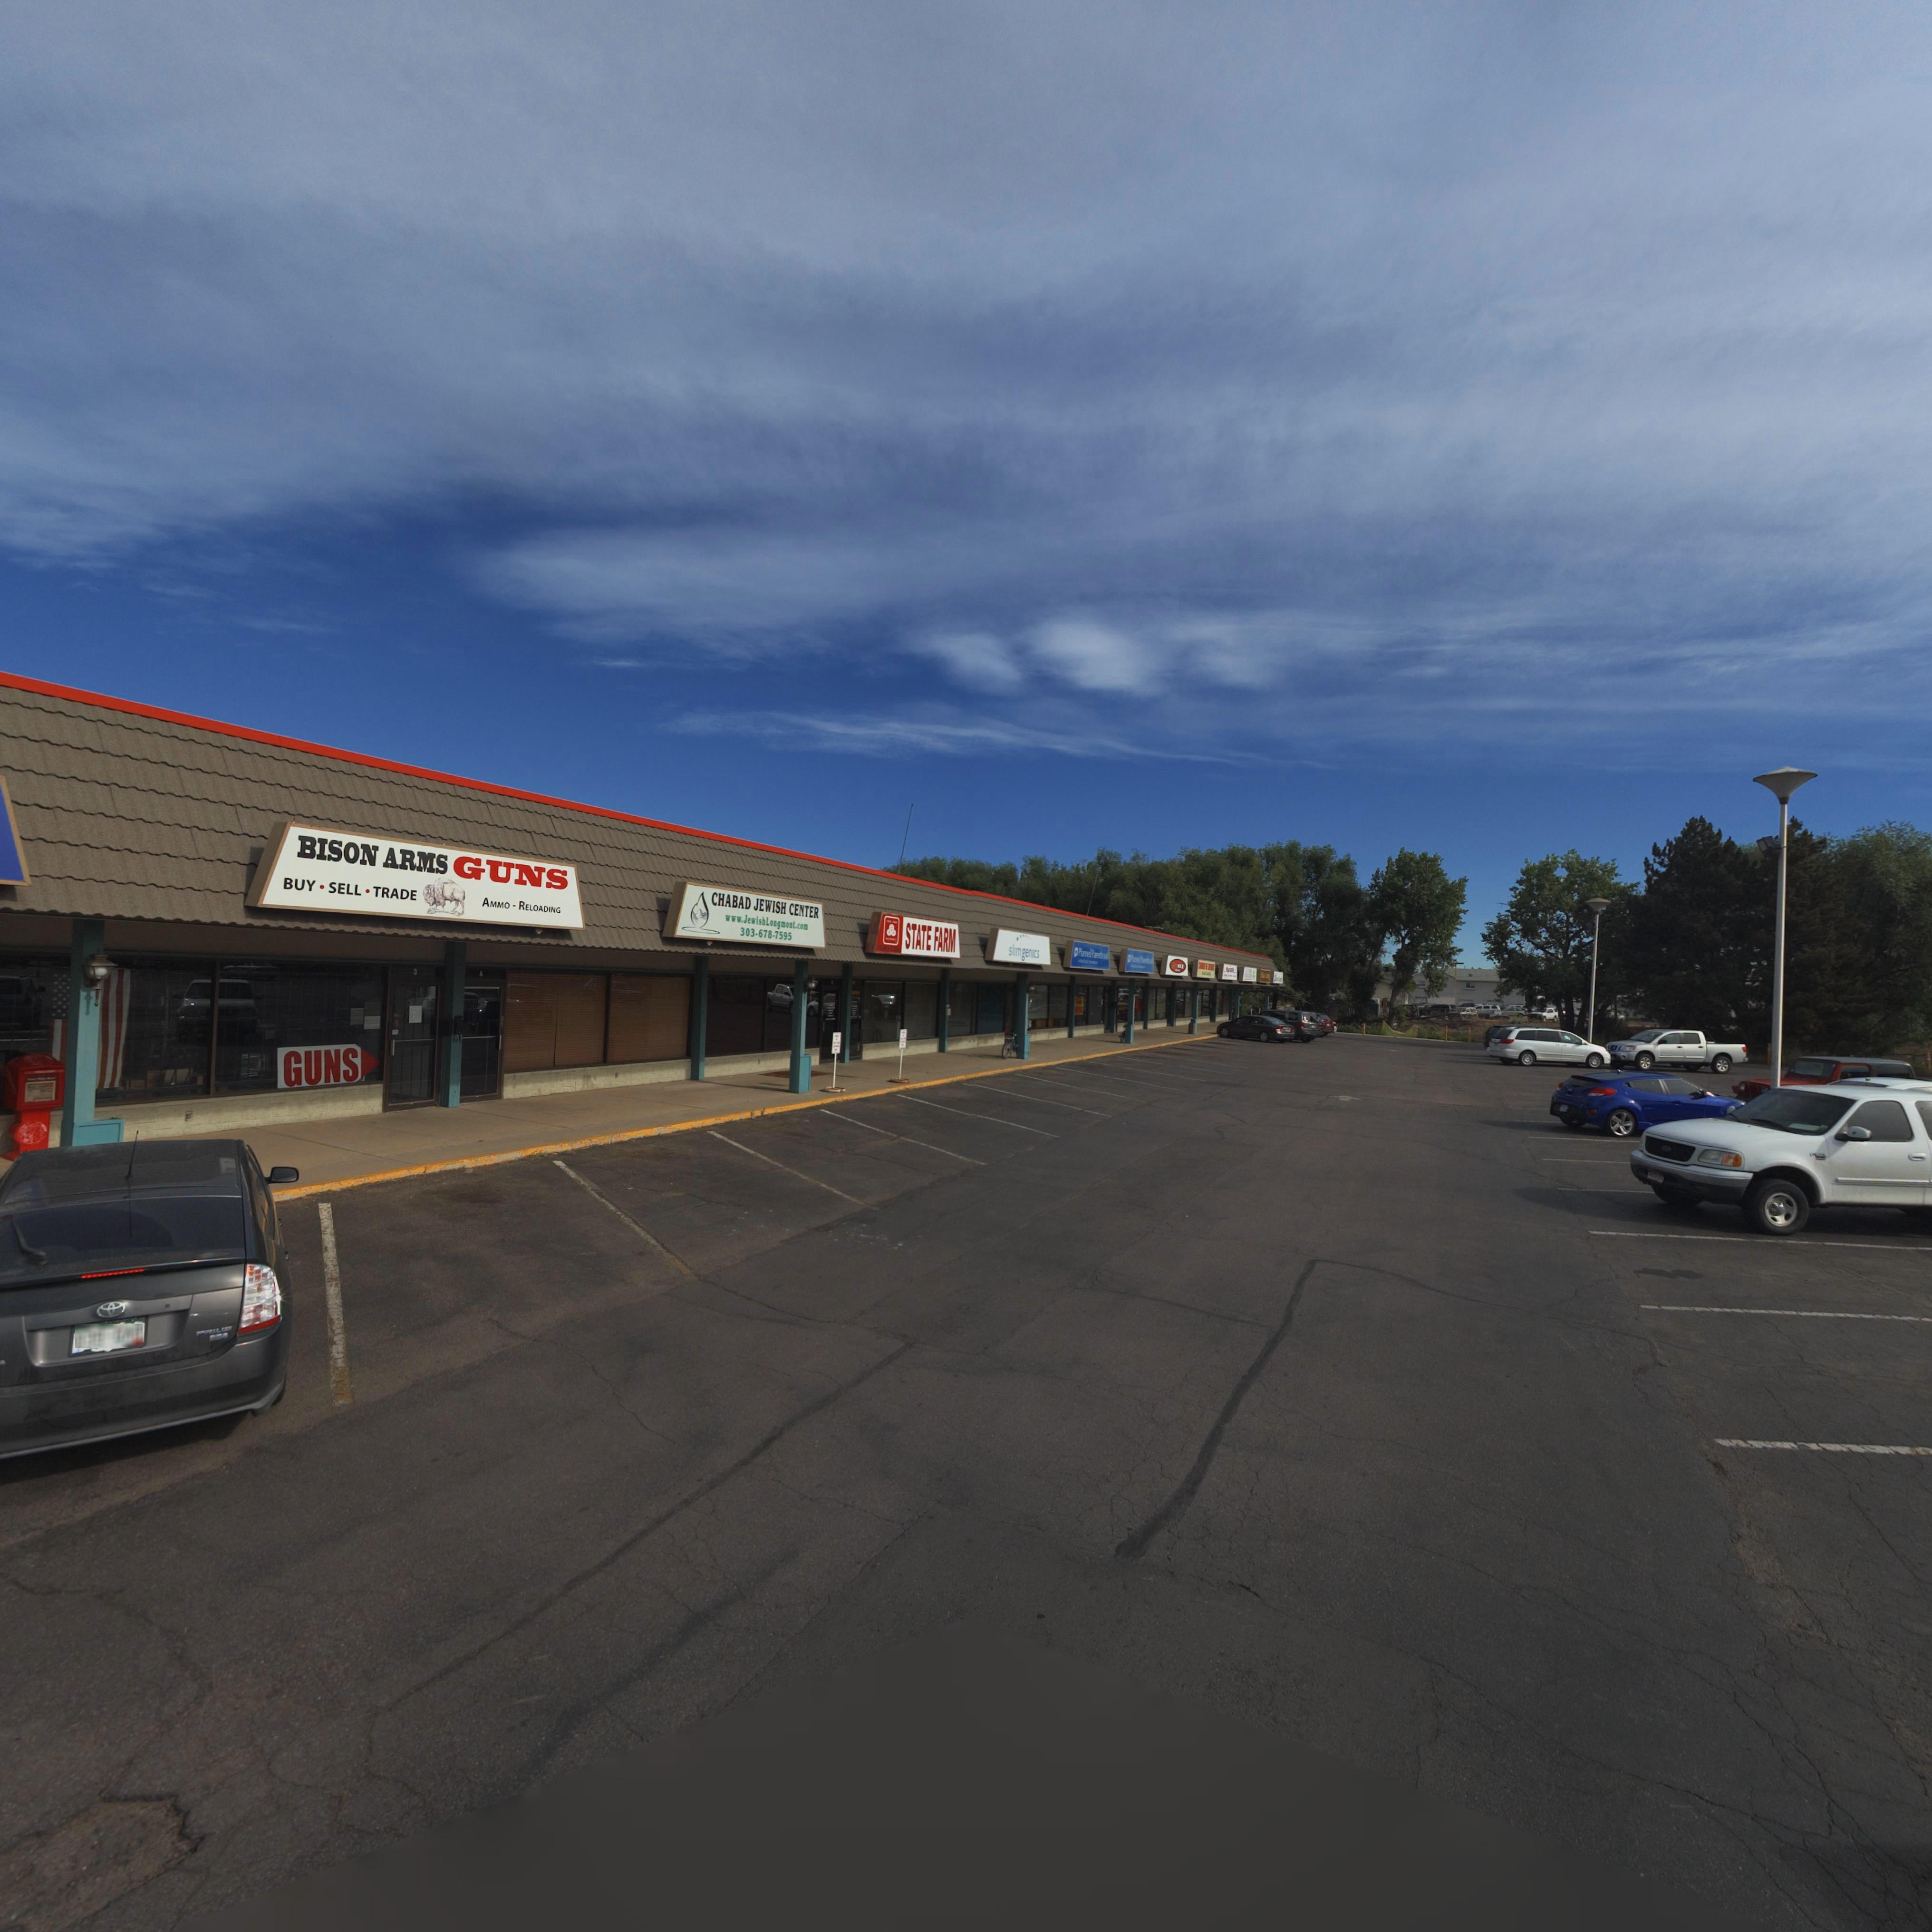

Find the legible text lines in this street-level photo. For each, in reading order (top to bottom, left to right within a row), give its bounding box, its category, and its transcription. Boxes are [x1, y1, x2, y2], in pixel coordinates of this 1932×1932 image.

[295, 833, 570, 891] BusinessName: BISON ARMS GUNS
[710, 891, 819, 918] BusinessName: CHABAD JEWISH CENTER
[904, 921, 956, 953] BusinessName: STATE FARM
[1007, 942, 1040, 961] BusinessName: slimgenics
[1077, 947, 1109, 960] BusinessName: P**nned Pa*****ood